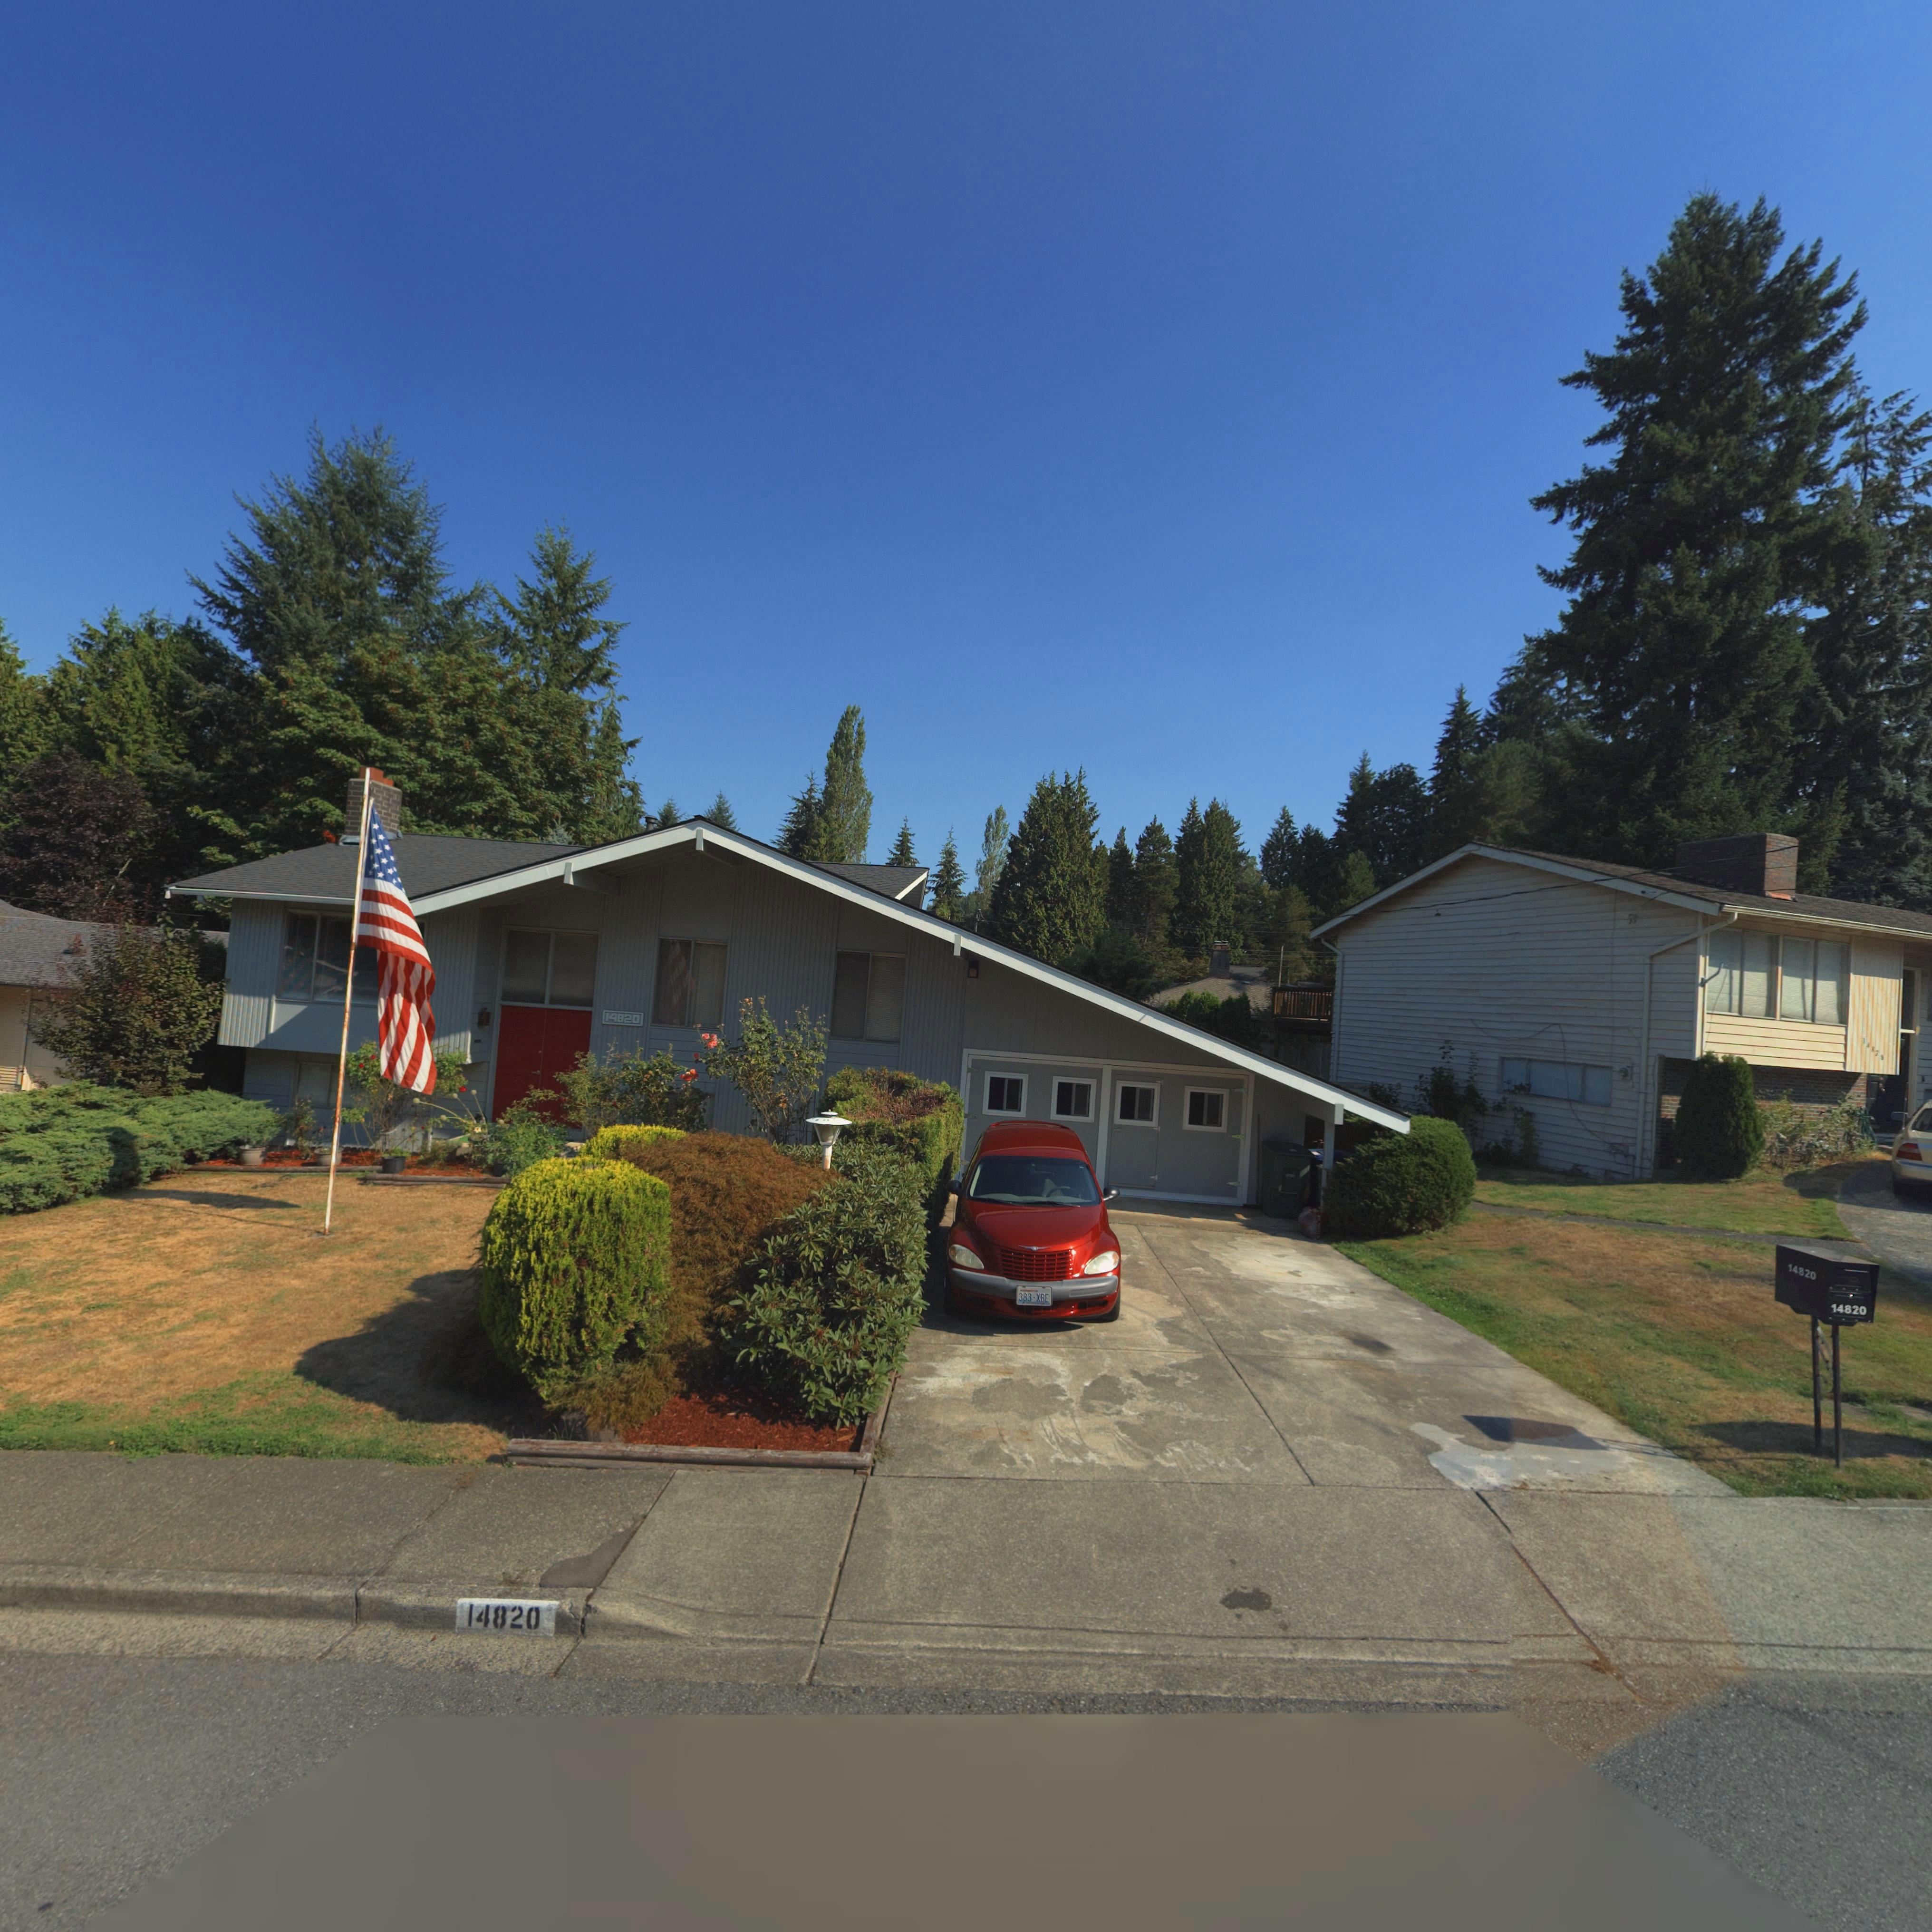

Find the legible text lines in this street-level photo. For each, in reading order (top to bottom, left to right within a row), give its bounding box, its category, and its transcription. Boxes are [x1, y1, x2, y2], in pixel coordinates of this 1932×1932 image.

[604, 1011, 640, 1024] StreetNumber: 14820
[1862, 1037, 1884, 1061] StreetNumber: 1****
[1787, 1262, 1816, 1281] StreetNumber: 14820
[1832, 1304, 1866, 1314] StreetNumber: 14820
[465, 1602, 541, 1632] StreetNumber: 14820